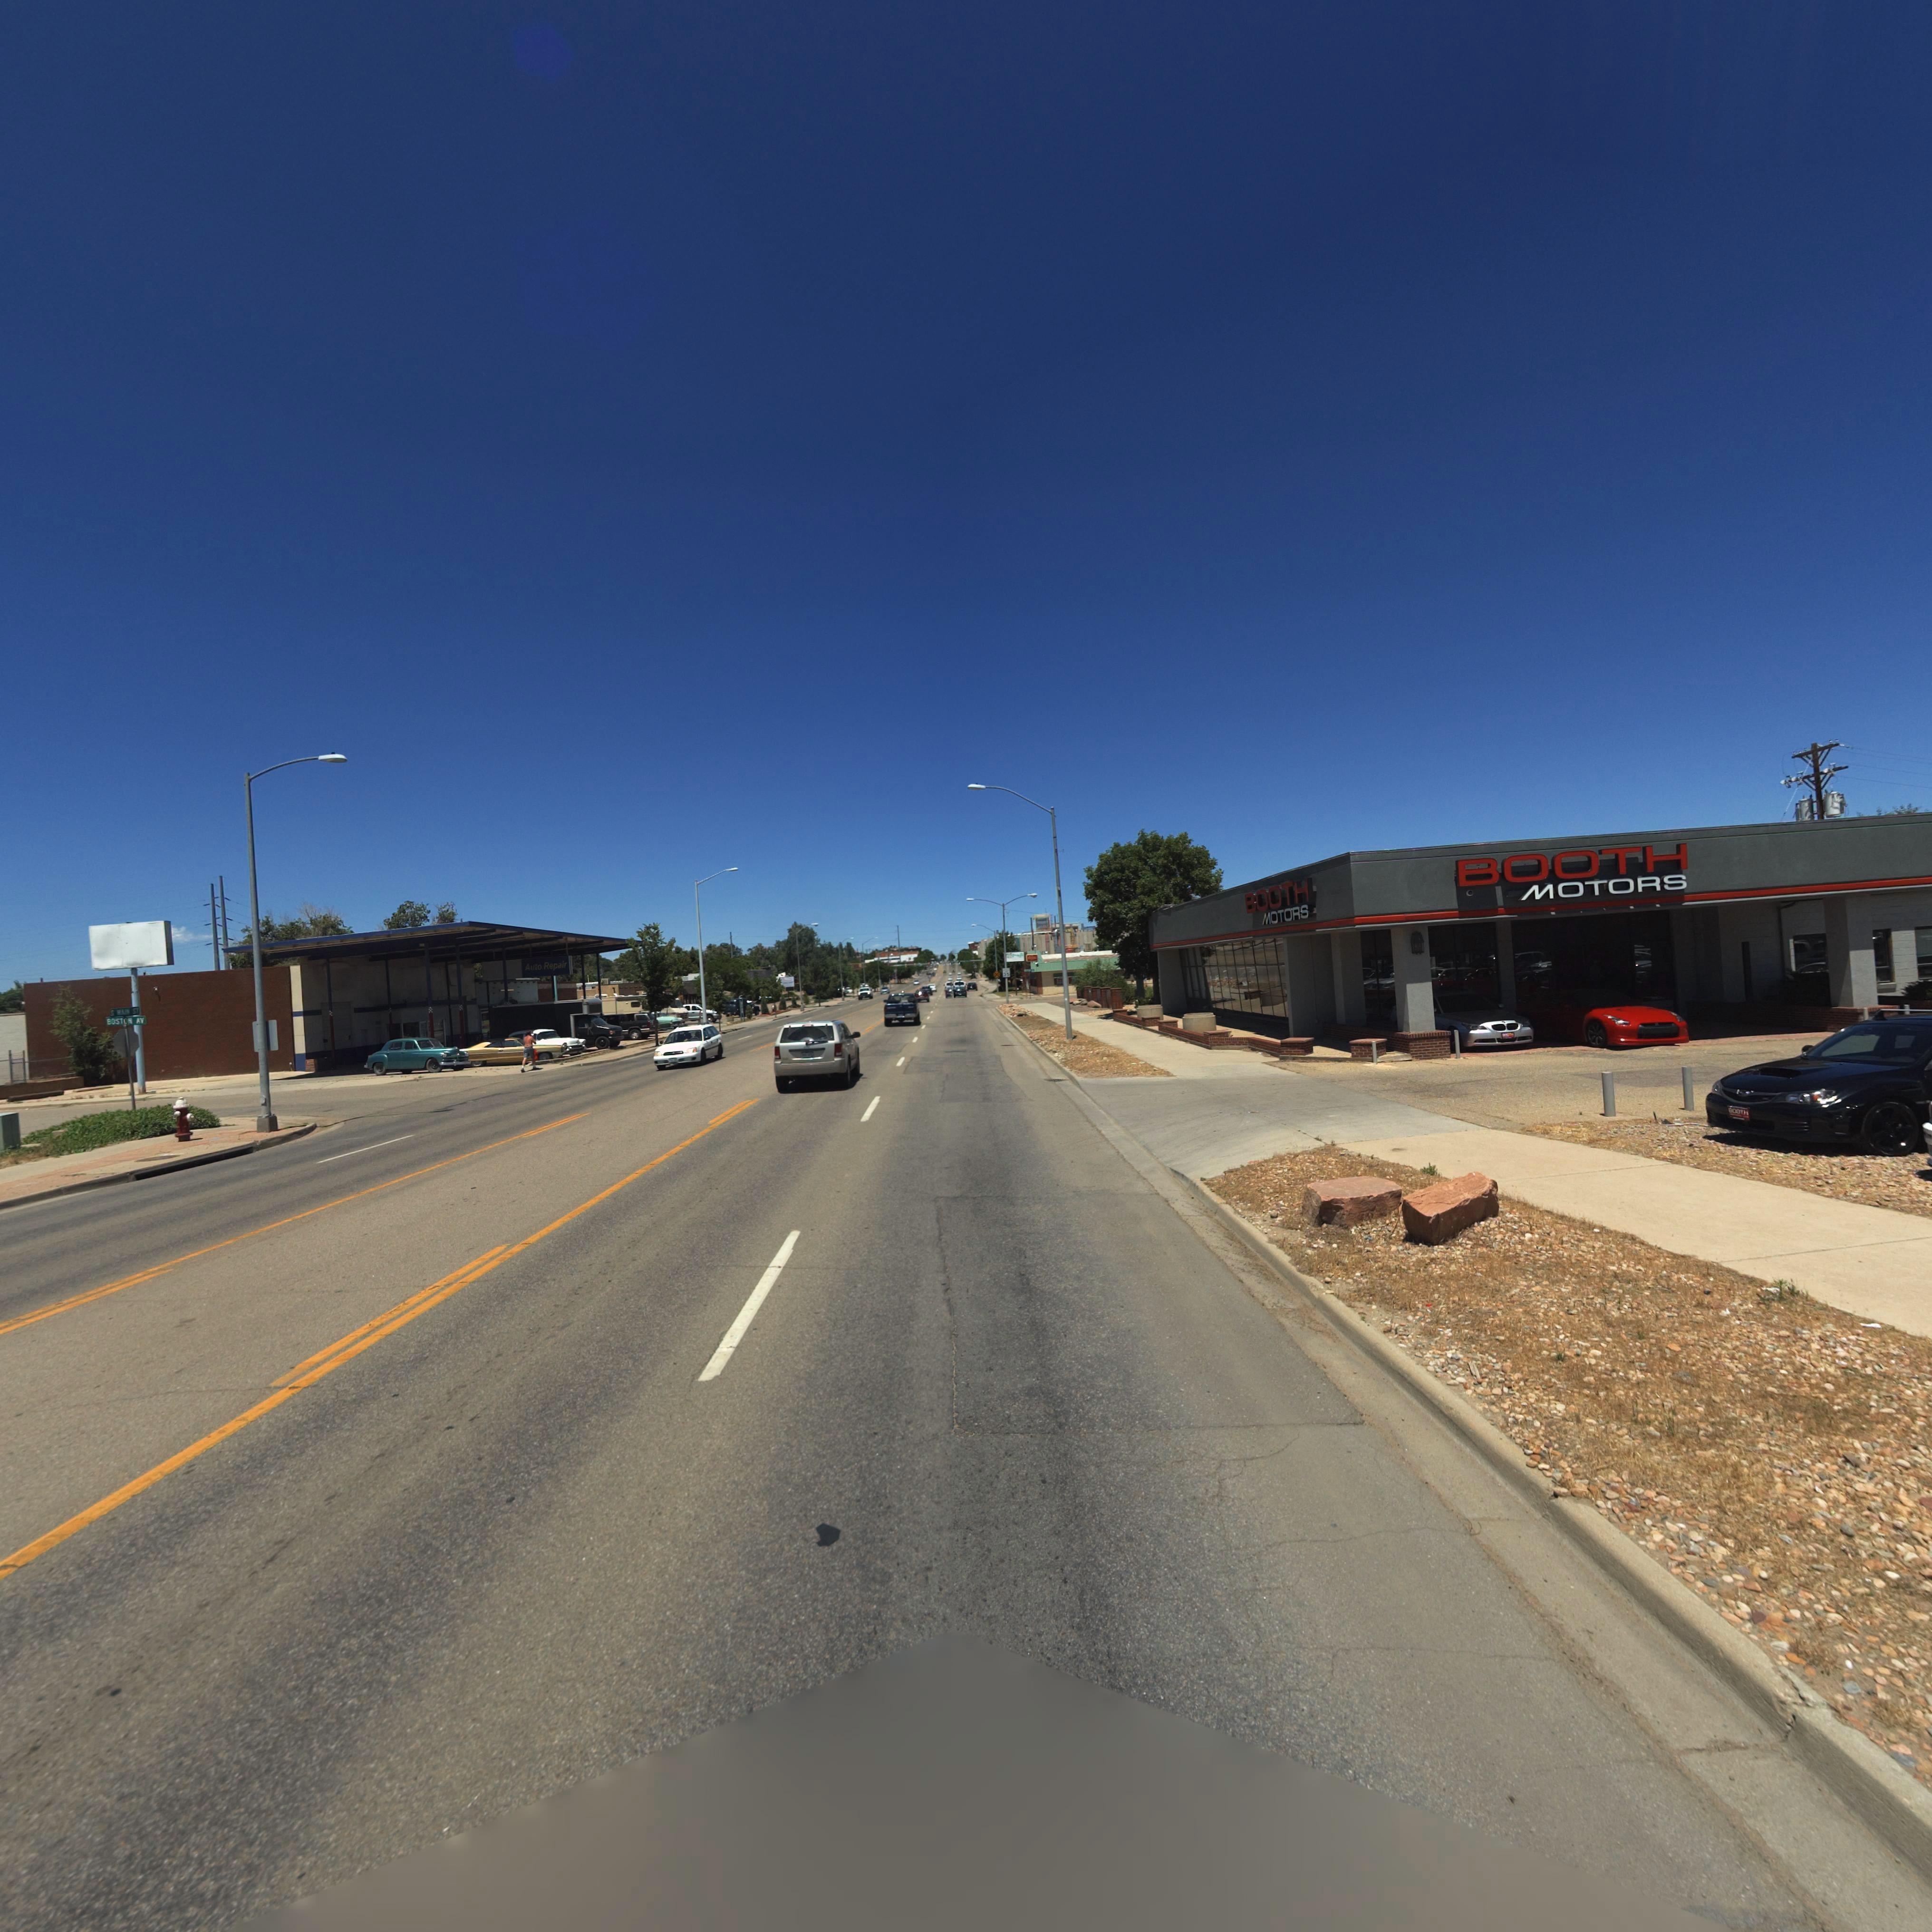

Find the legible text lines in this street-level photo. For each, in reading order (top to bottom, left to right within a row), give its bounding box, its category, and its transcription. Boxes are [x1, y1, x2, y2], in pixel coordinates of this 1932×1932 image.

[1456, 841, 1690, 888] BusinessName: BOOTH
[1243, 876, 1310, 914] BusinessName: BOOTH
[1518, 873, 1688, 901] BusinessName: MOTORS
[1261, 903, 1310, 925] BusinessName: MOTORS
[110, 1007, 140, 1016] StreetName: S **IN ST
[106, 1017, 145, 1025] StreetName: BOSTO* AV